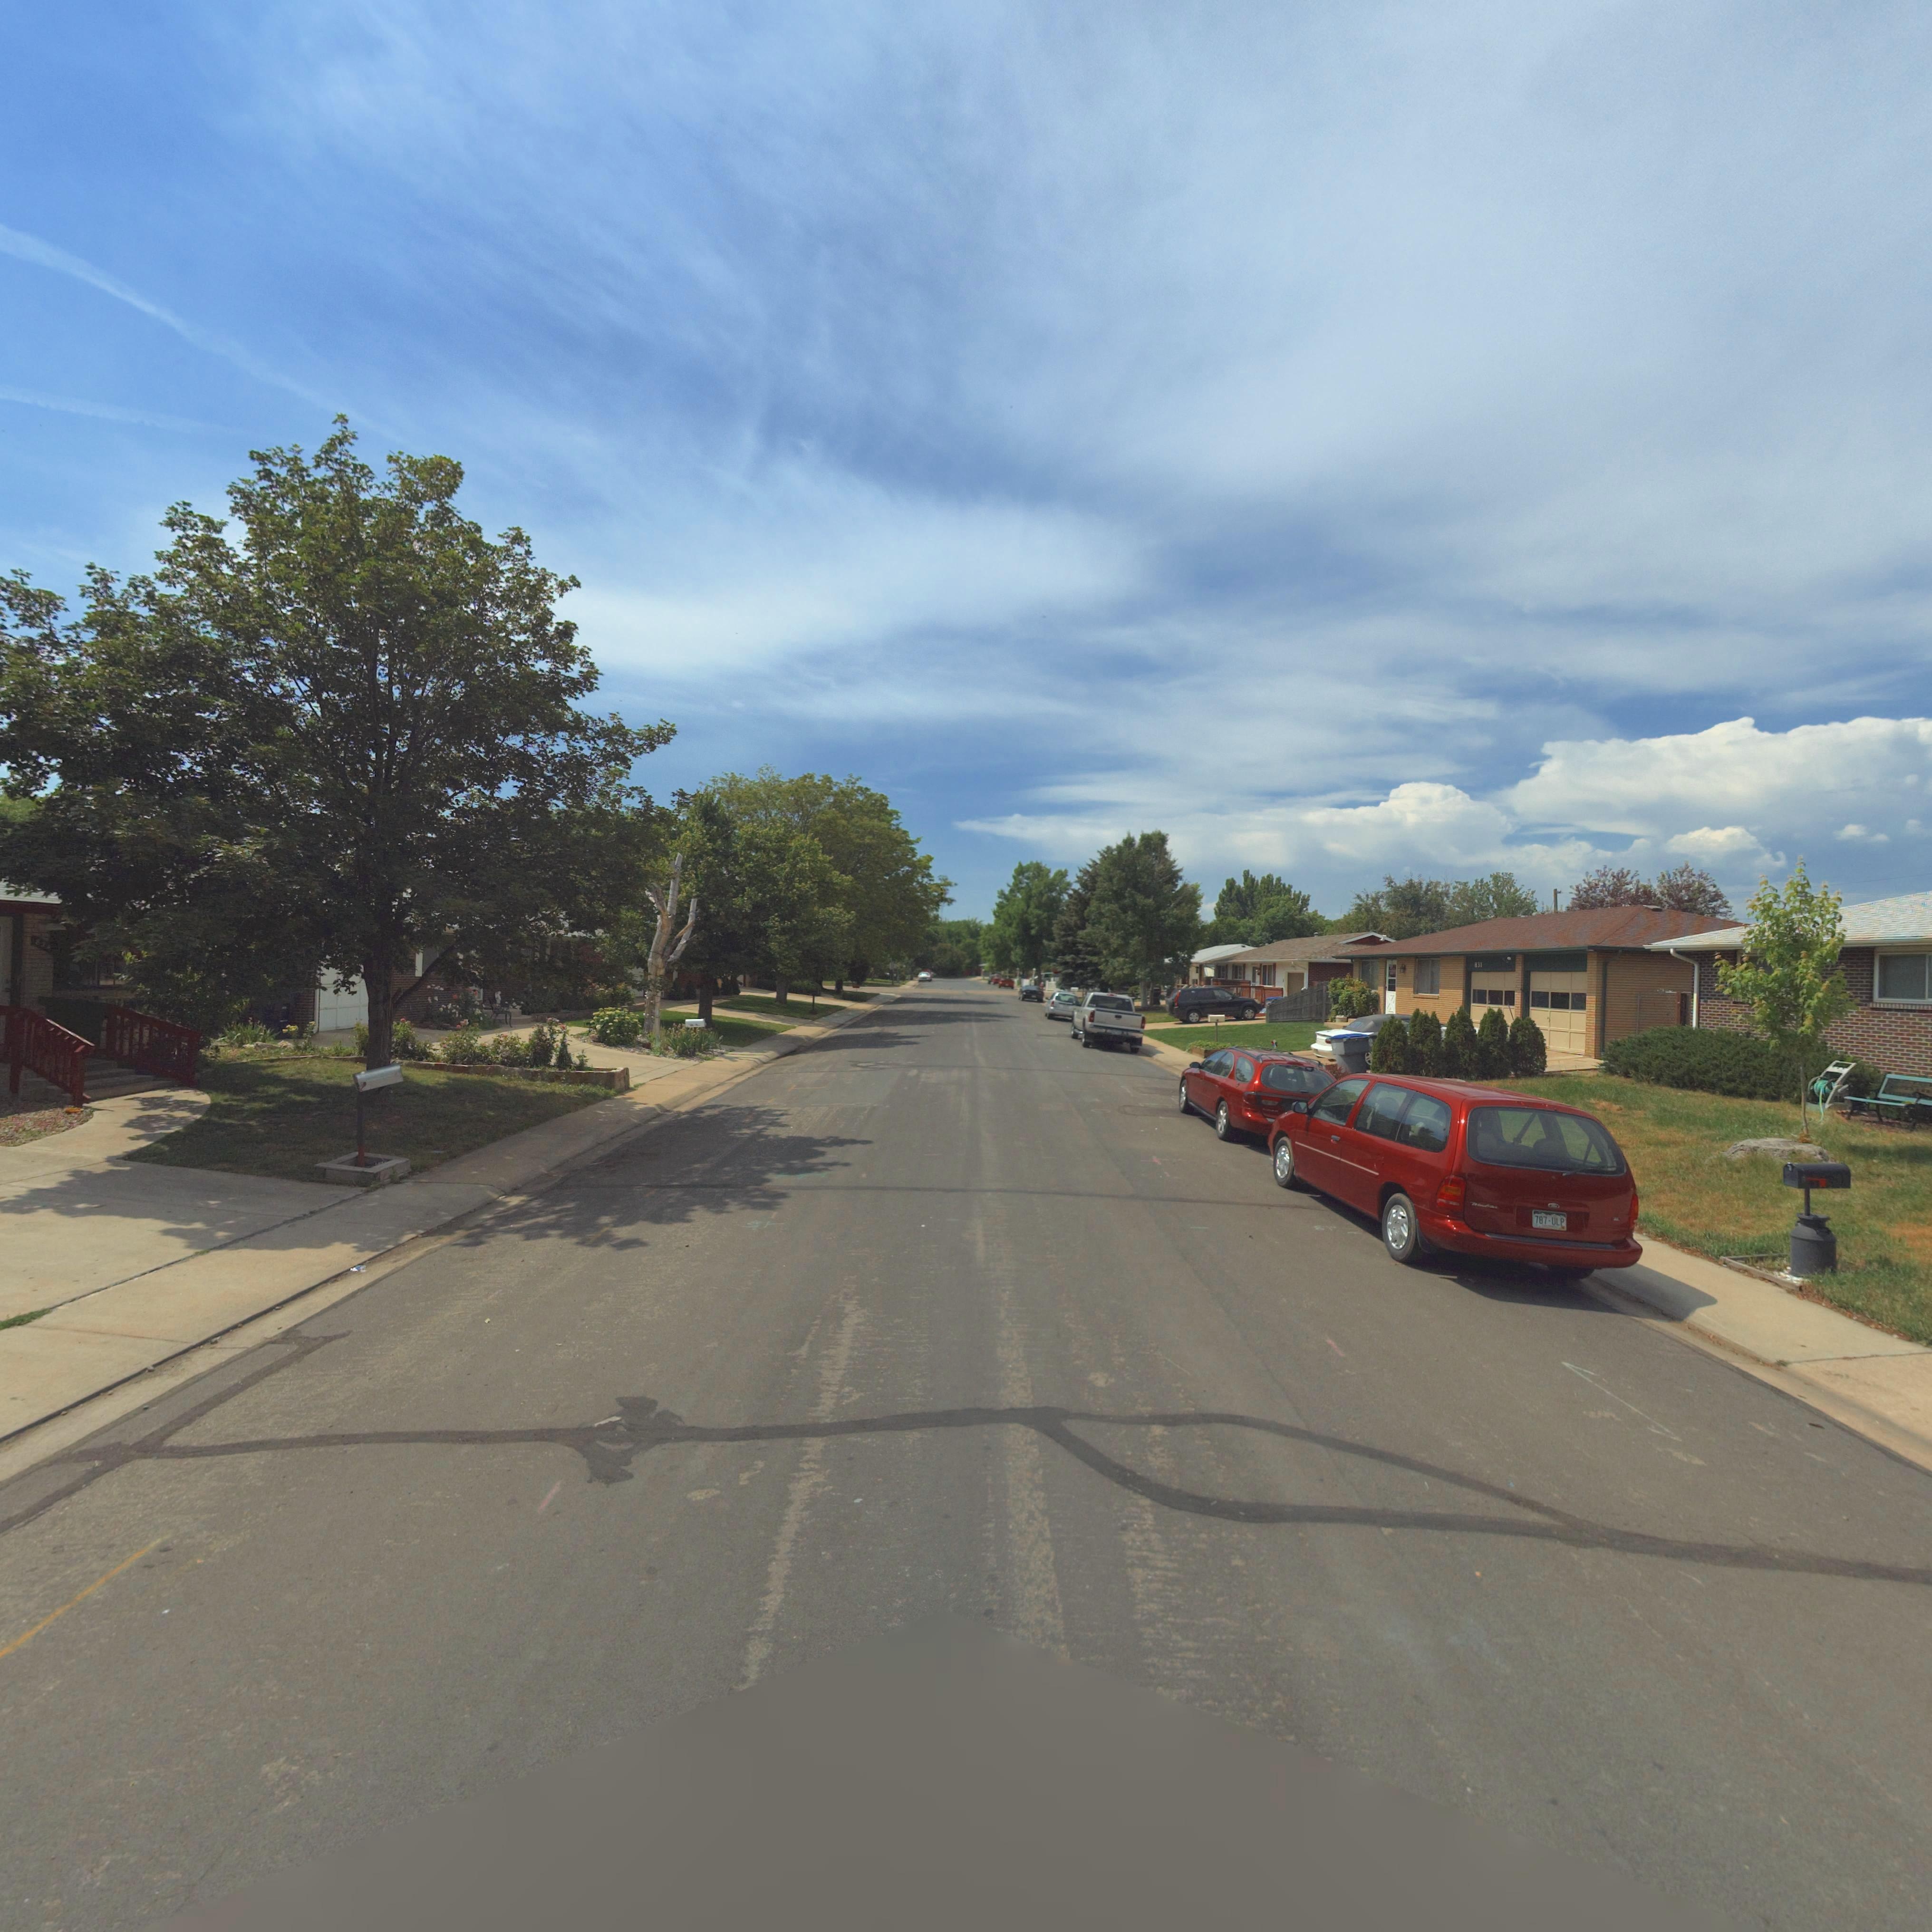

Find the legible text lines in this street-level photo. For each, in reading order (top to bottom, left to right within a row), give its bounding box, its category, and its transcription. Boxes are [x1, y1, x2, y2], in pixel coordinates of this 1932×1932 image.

[34, 938, 52, 950] StreetNumber: 8**
[1474, 962, 1482, 967] StreetNumber: 831